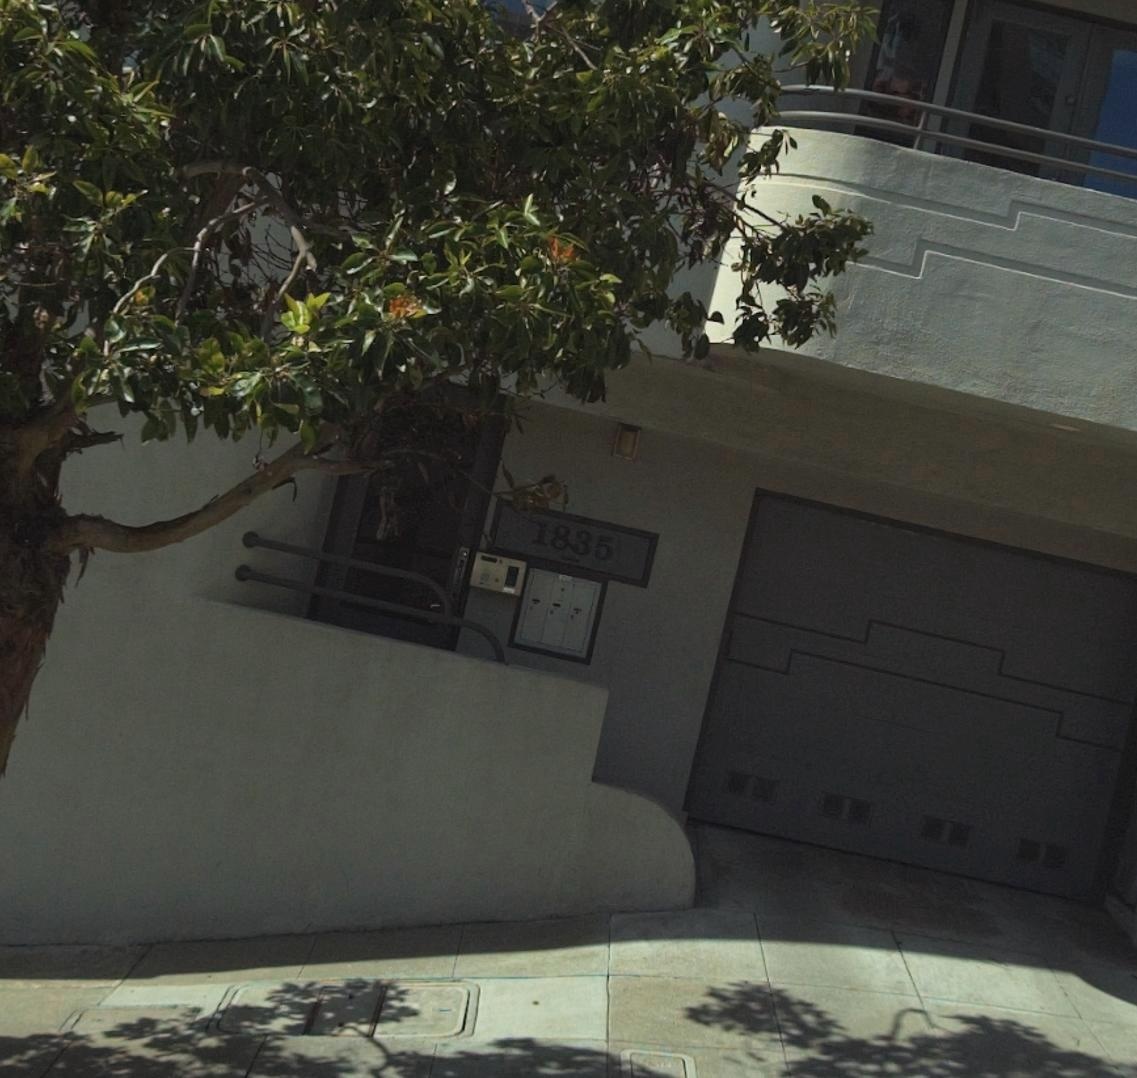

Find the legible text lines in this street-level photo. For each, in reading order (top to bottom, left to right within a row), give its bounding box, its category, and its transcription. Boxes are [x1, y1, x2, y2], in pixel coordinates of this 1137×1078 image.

[530, 519, 617, 564] StreetNumber: 1835